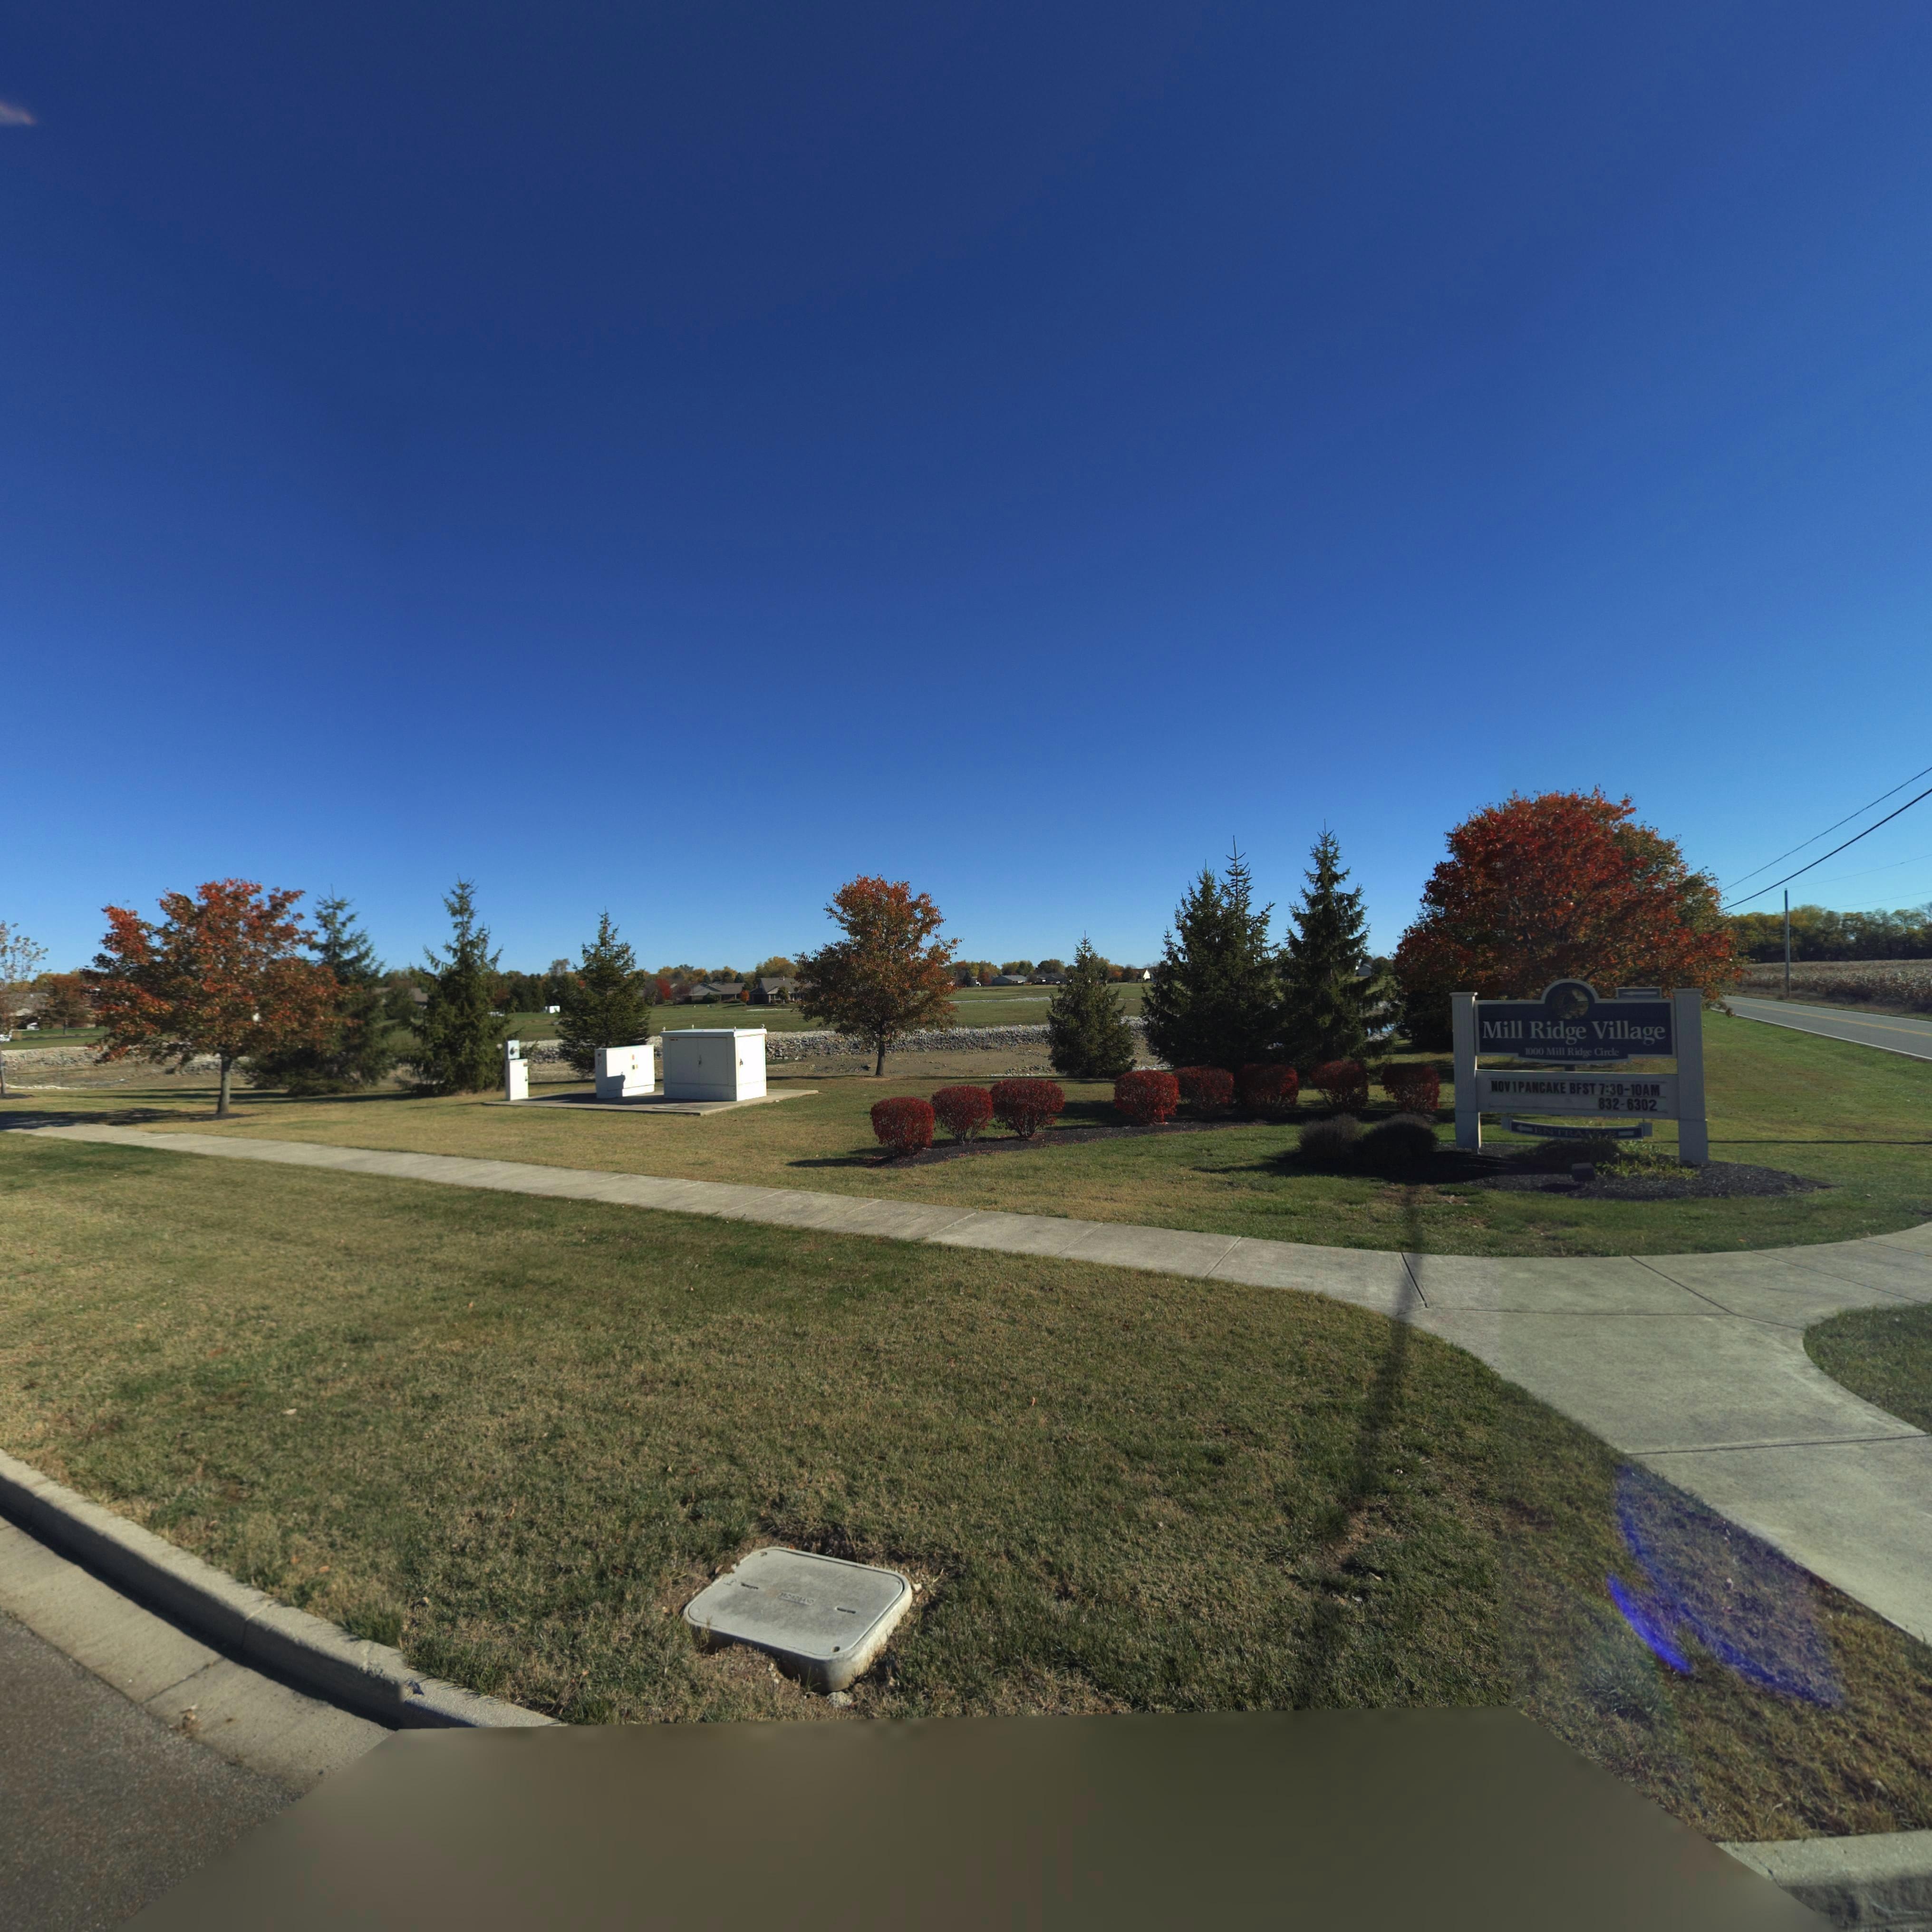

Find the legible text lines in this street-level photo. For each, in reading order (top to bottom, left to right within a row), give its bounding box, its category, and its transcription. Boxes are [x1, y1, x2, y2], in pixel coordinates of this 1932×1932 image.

[1482, 1019, 1666, 1048] BusinessName: Mill Ridge Village
[1524, 1047, 1545, 1055] StreetNumber: 1000
[1545, 1046, 1619, 1059] None: Mill Ridge Circle
[1489, 1080, 1662, 1098] None: NOV1PANCAKE BFST 7:30-10AM
[1597, 1097, 1659, 1112] None: 832-6302
[1533, 1125, 1586, 1138] None: ENTRA